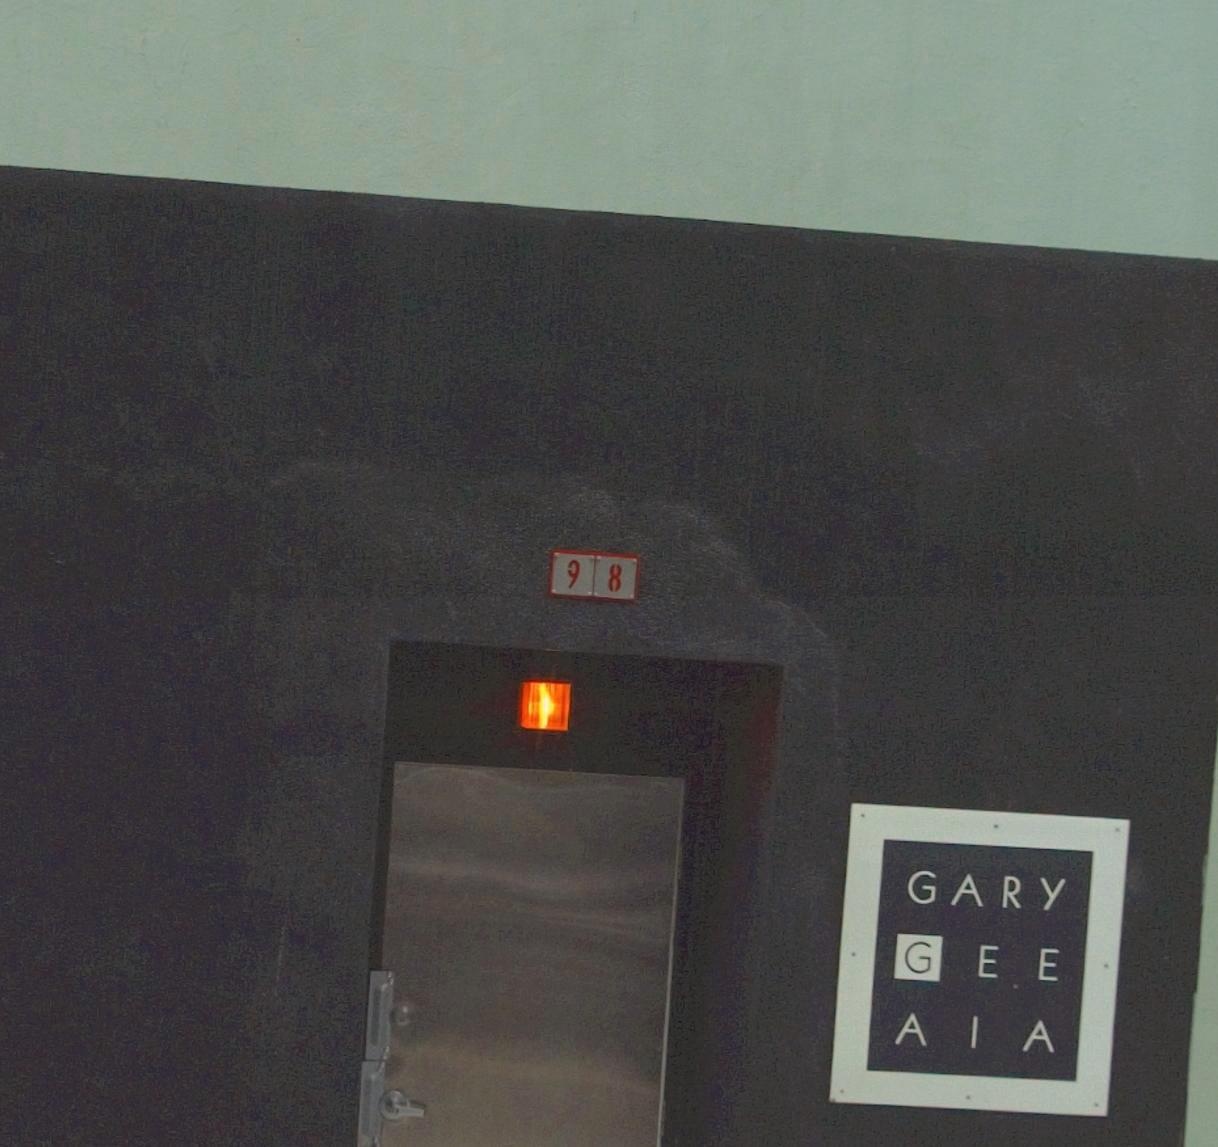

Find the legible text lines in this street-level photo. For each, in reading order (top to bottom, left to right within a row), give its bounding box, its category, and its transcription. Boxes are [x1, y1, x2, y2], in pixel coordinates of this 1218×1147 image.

[564, 556, 625, 596] StreetNumber: 98
[904, 865, 1071, 915] None: GARY
[901, 936, 1064, 985] None: GEE
[889, 1007, 1059, 1058] None: AIA